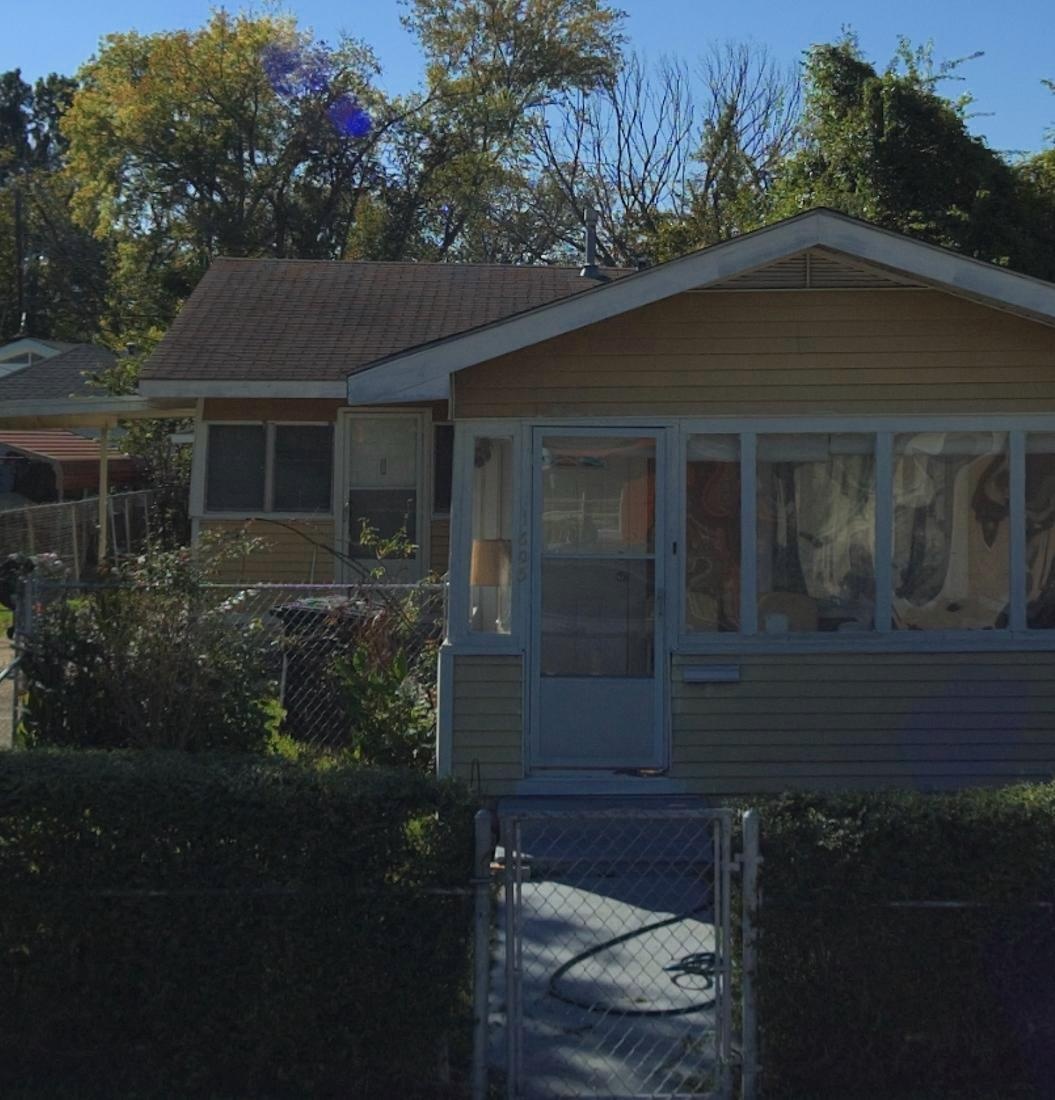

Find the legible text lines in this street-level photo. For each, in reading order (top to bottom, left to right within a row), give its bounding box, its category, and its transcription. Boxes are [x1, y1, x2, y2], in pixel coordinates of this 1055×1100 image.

[516, 509, 529, 584] StreetNumber: 1605